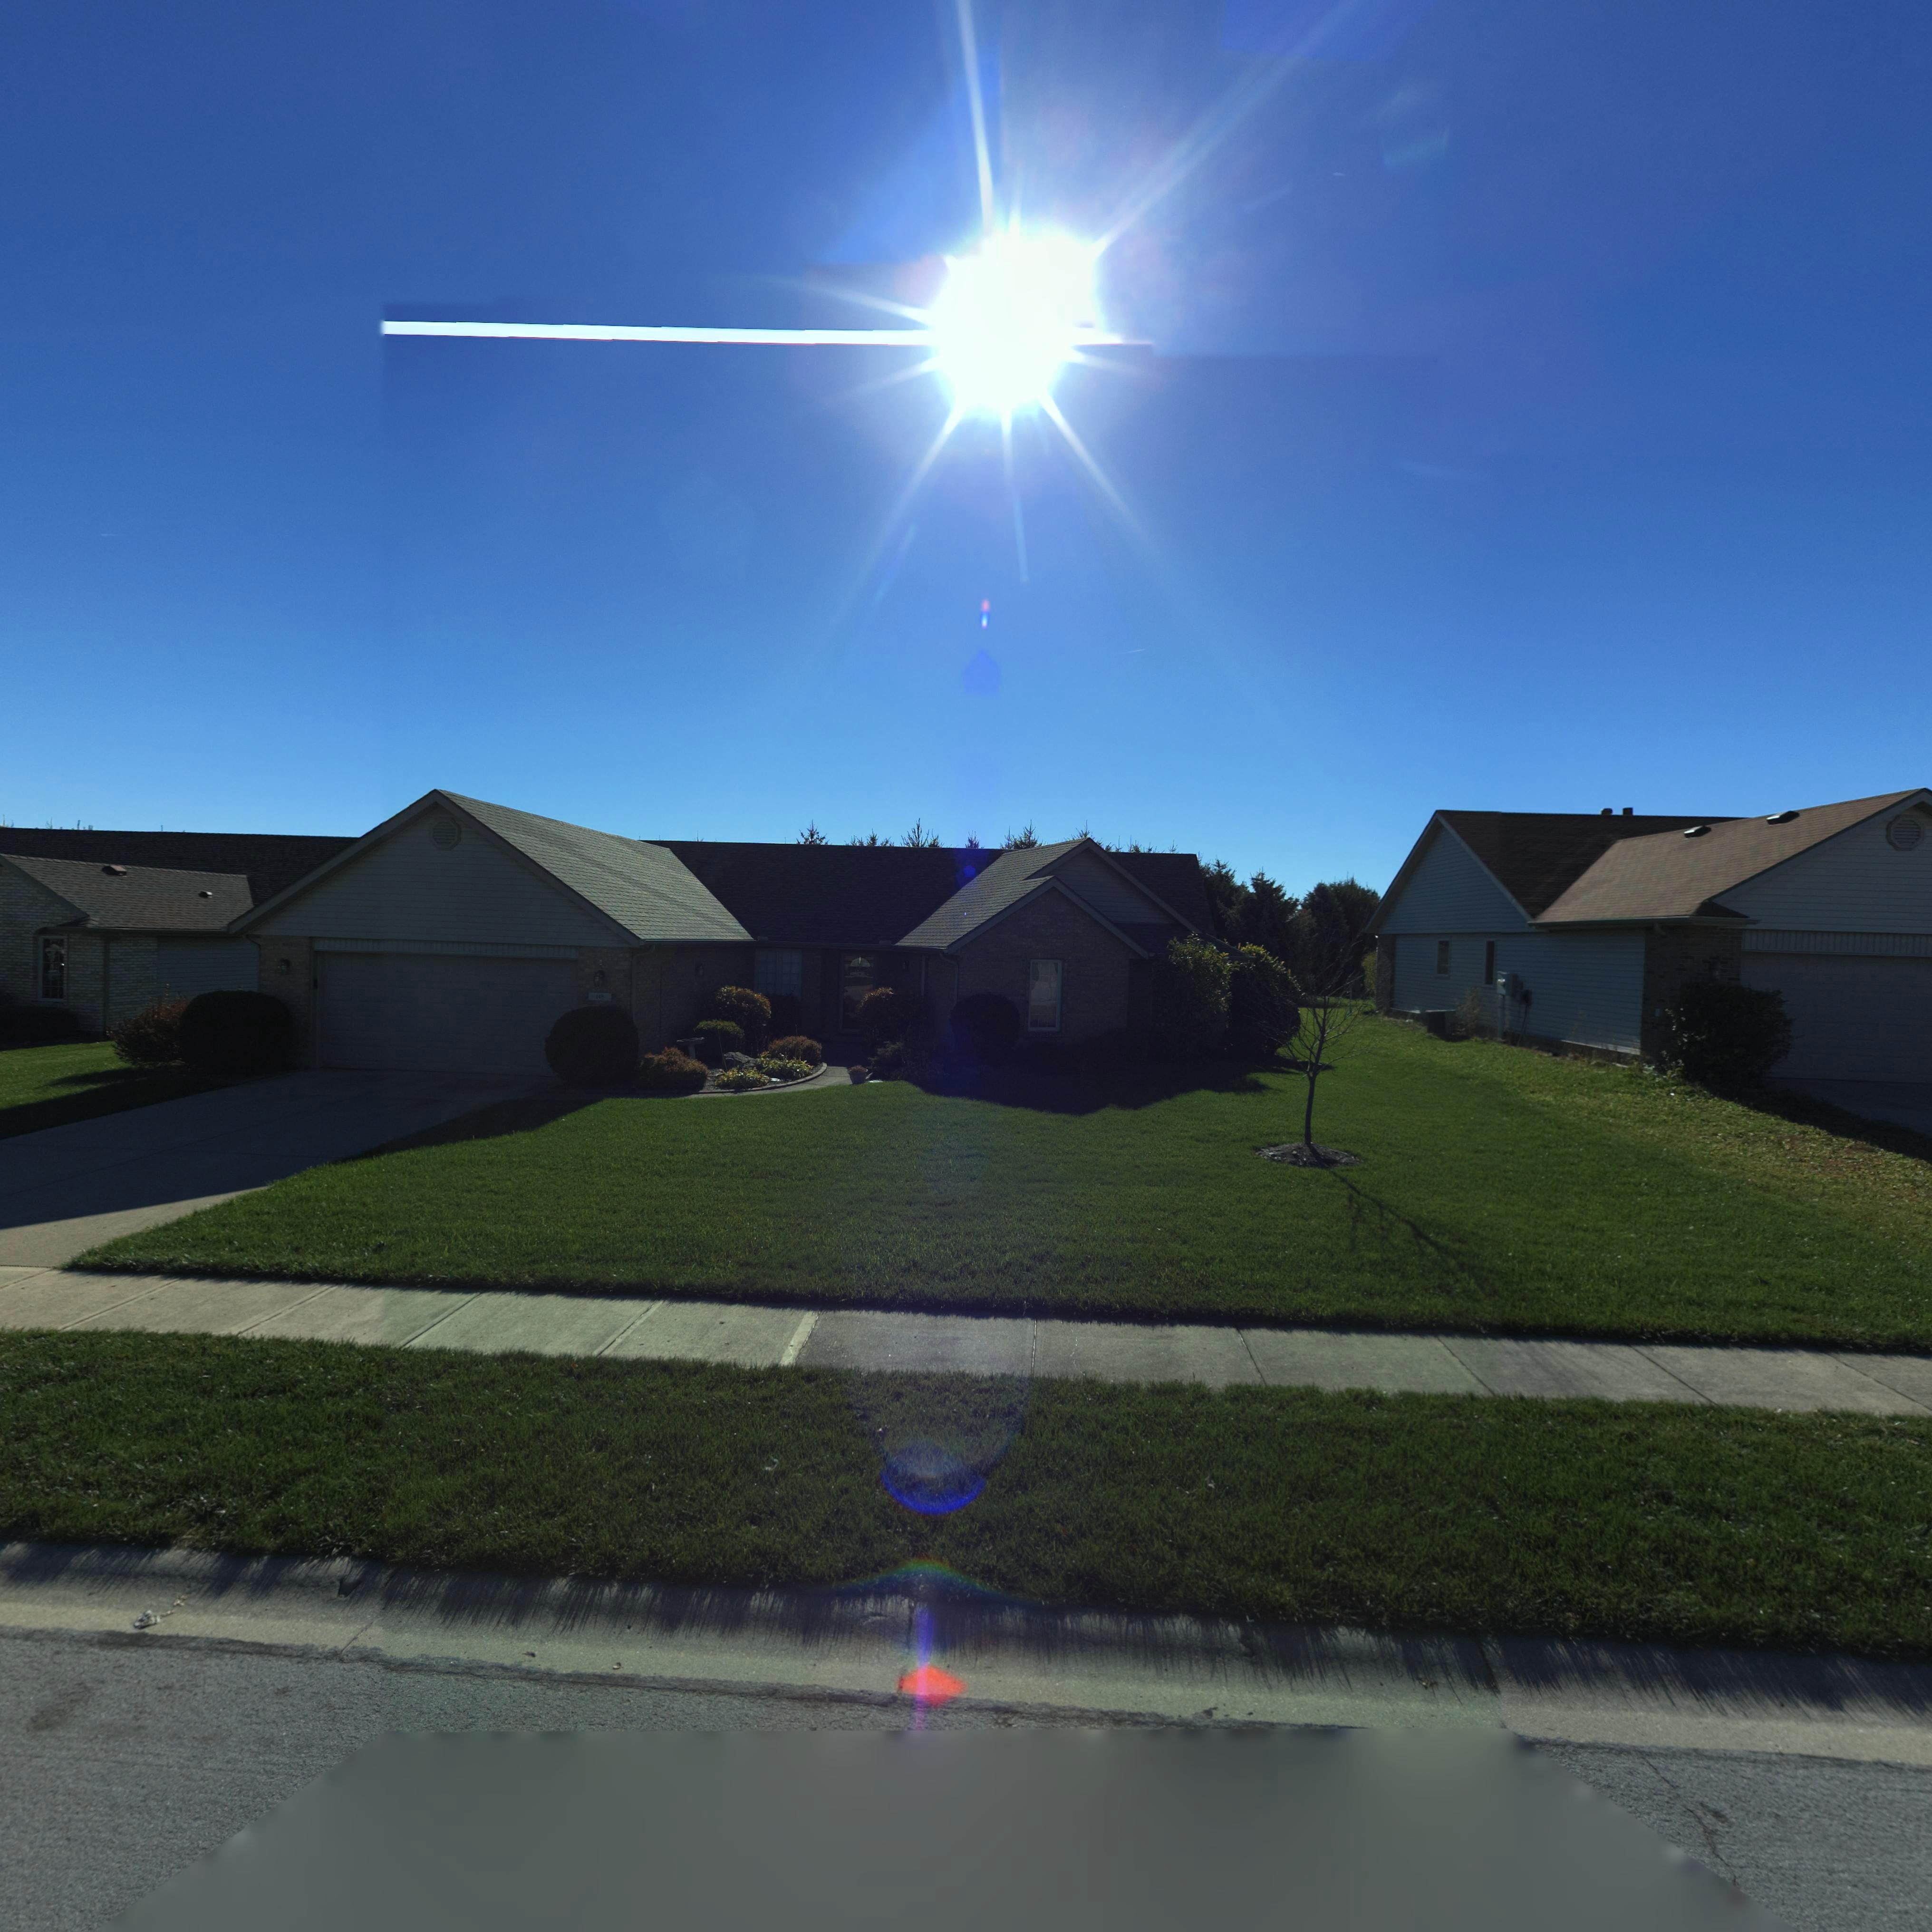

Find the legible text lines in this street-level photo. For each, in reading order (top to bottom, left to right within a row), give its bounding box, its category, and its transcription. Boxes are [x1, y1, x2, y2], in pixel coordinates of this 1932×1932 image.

[594, 994, 604, 999] StreetNumber: 1*9